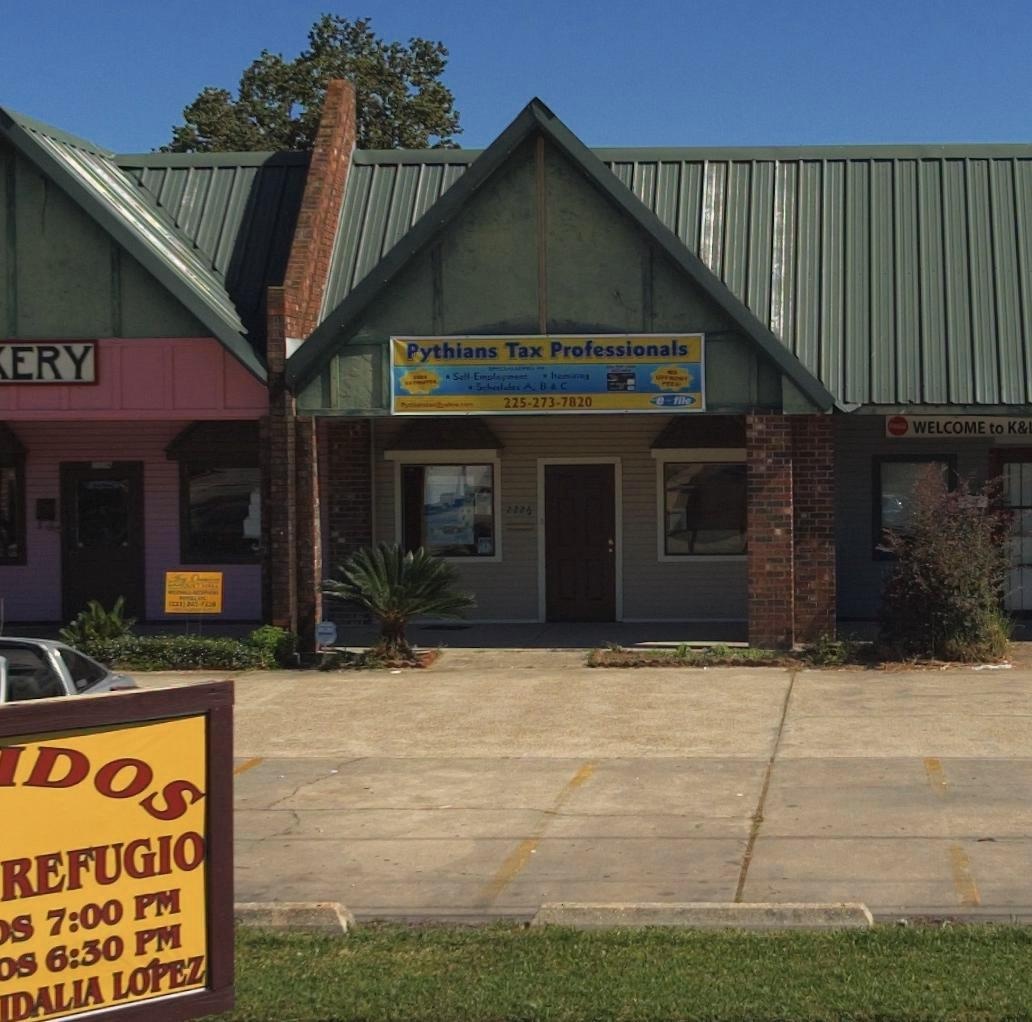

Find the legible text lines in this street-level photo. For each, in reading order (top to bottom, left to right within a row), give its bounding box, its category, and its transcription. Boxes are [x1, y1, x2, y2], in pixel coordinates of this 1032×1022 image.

[407, 339, 689, 363] BusinessName: Pythians Tax Professionals
[5, 342, 92, 383] BusinessName: ERY
[453, 372, 528, 381] None: Self-Employement
[551, 370, 590, 380] None: L****ng
[667, 370, 678, 375] None: NO
[475, 381, 569, 392] None: Sched**es A,B and C
[661, 381, 679, 388] None: FEES
[503, 395, 592, 408] None: 225-273-7820
[654, 395, 691, 405] None: e-file
[912, 420, 1031, 434] None: WELCOME to K&
[506, 505, 533, 515] StreetNumber: 2226
[0, 745, 213, 824] BusinessName: DOS
[0, 828, 205, 902] None: REFUGIO
[0, 886, 183, 947] None: S 7:00 PM
[0, 921, 184, 984] None: OS 6:30 PM
[0, 952, 208, 1022] None: IDALIA LOPEZ